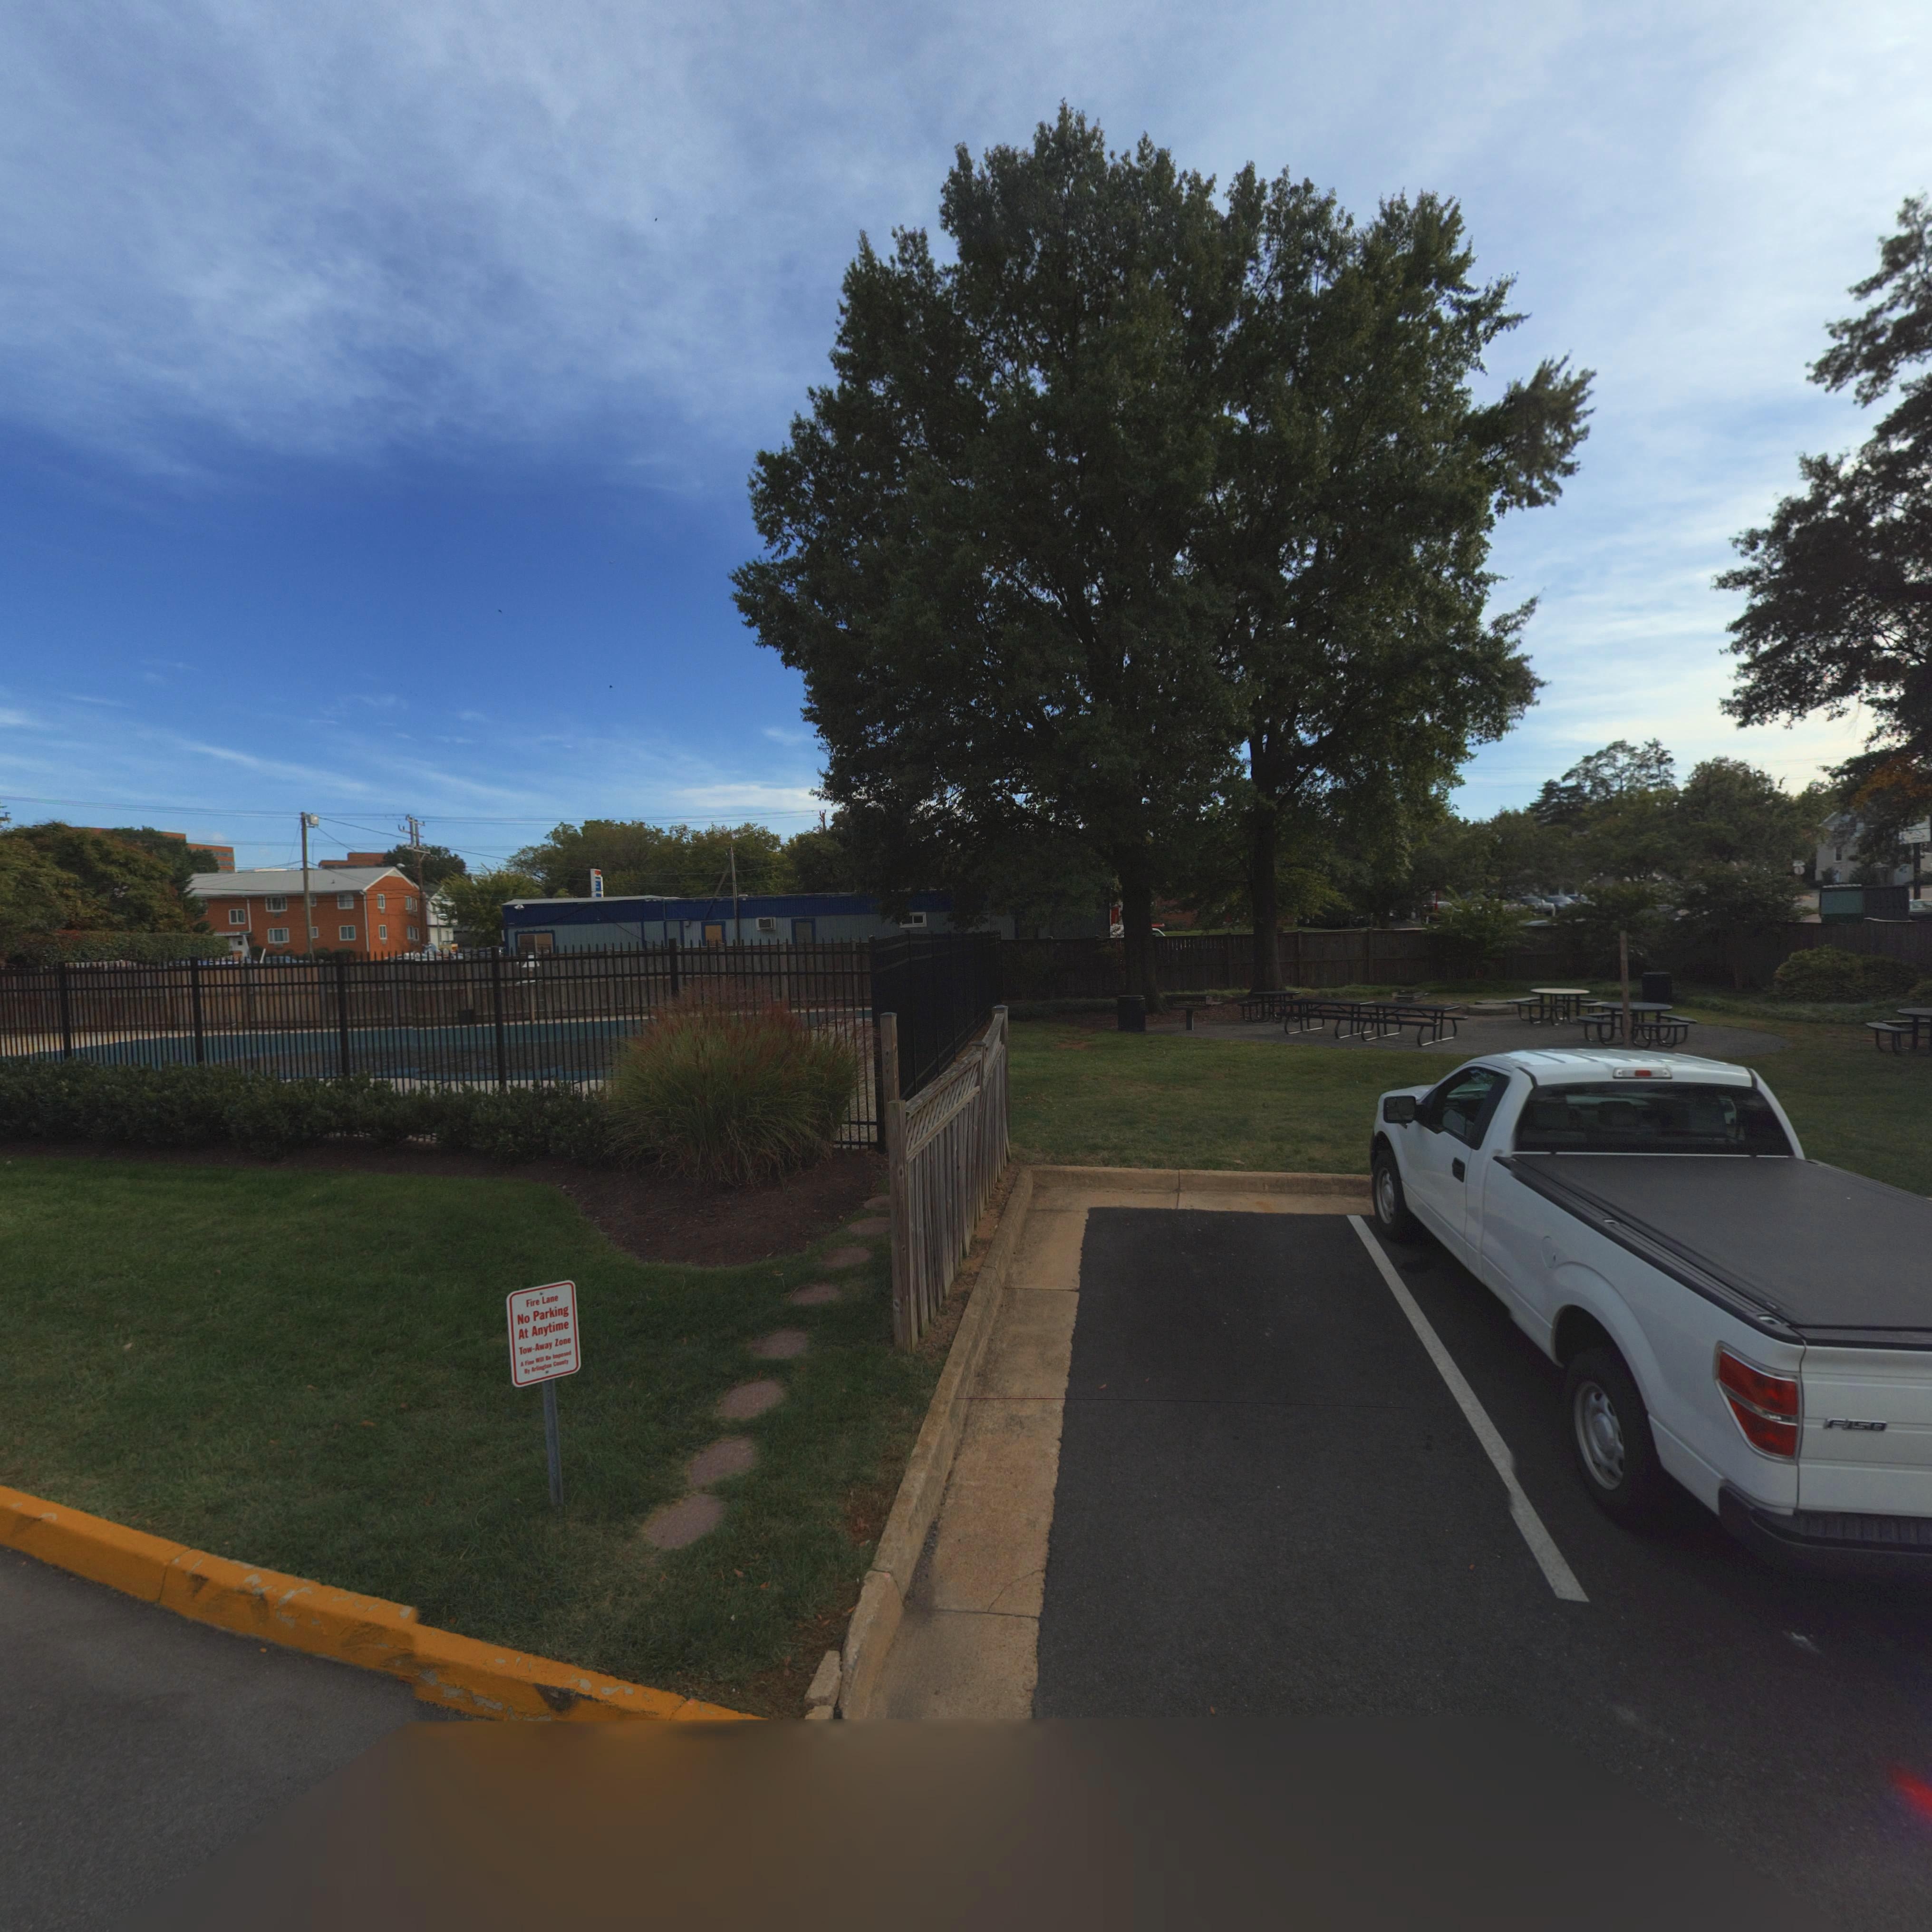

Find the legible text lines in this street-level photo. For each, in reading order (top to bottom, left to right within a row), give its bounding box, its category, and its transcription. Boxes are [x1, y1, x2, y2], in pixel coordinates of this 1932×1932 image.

[525, 1294, 561, 1310] None: Fire Lane
[515, 1303, 570, 1327] None: No Parking
[516, 1320, 571, 1342] None: At Anuytime
[518, 1337, 572, 1358] None: Tow-Away Zone
[1825, 1416, 1891, 1433] None: F150